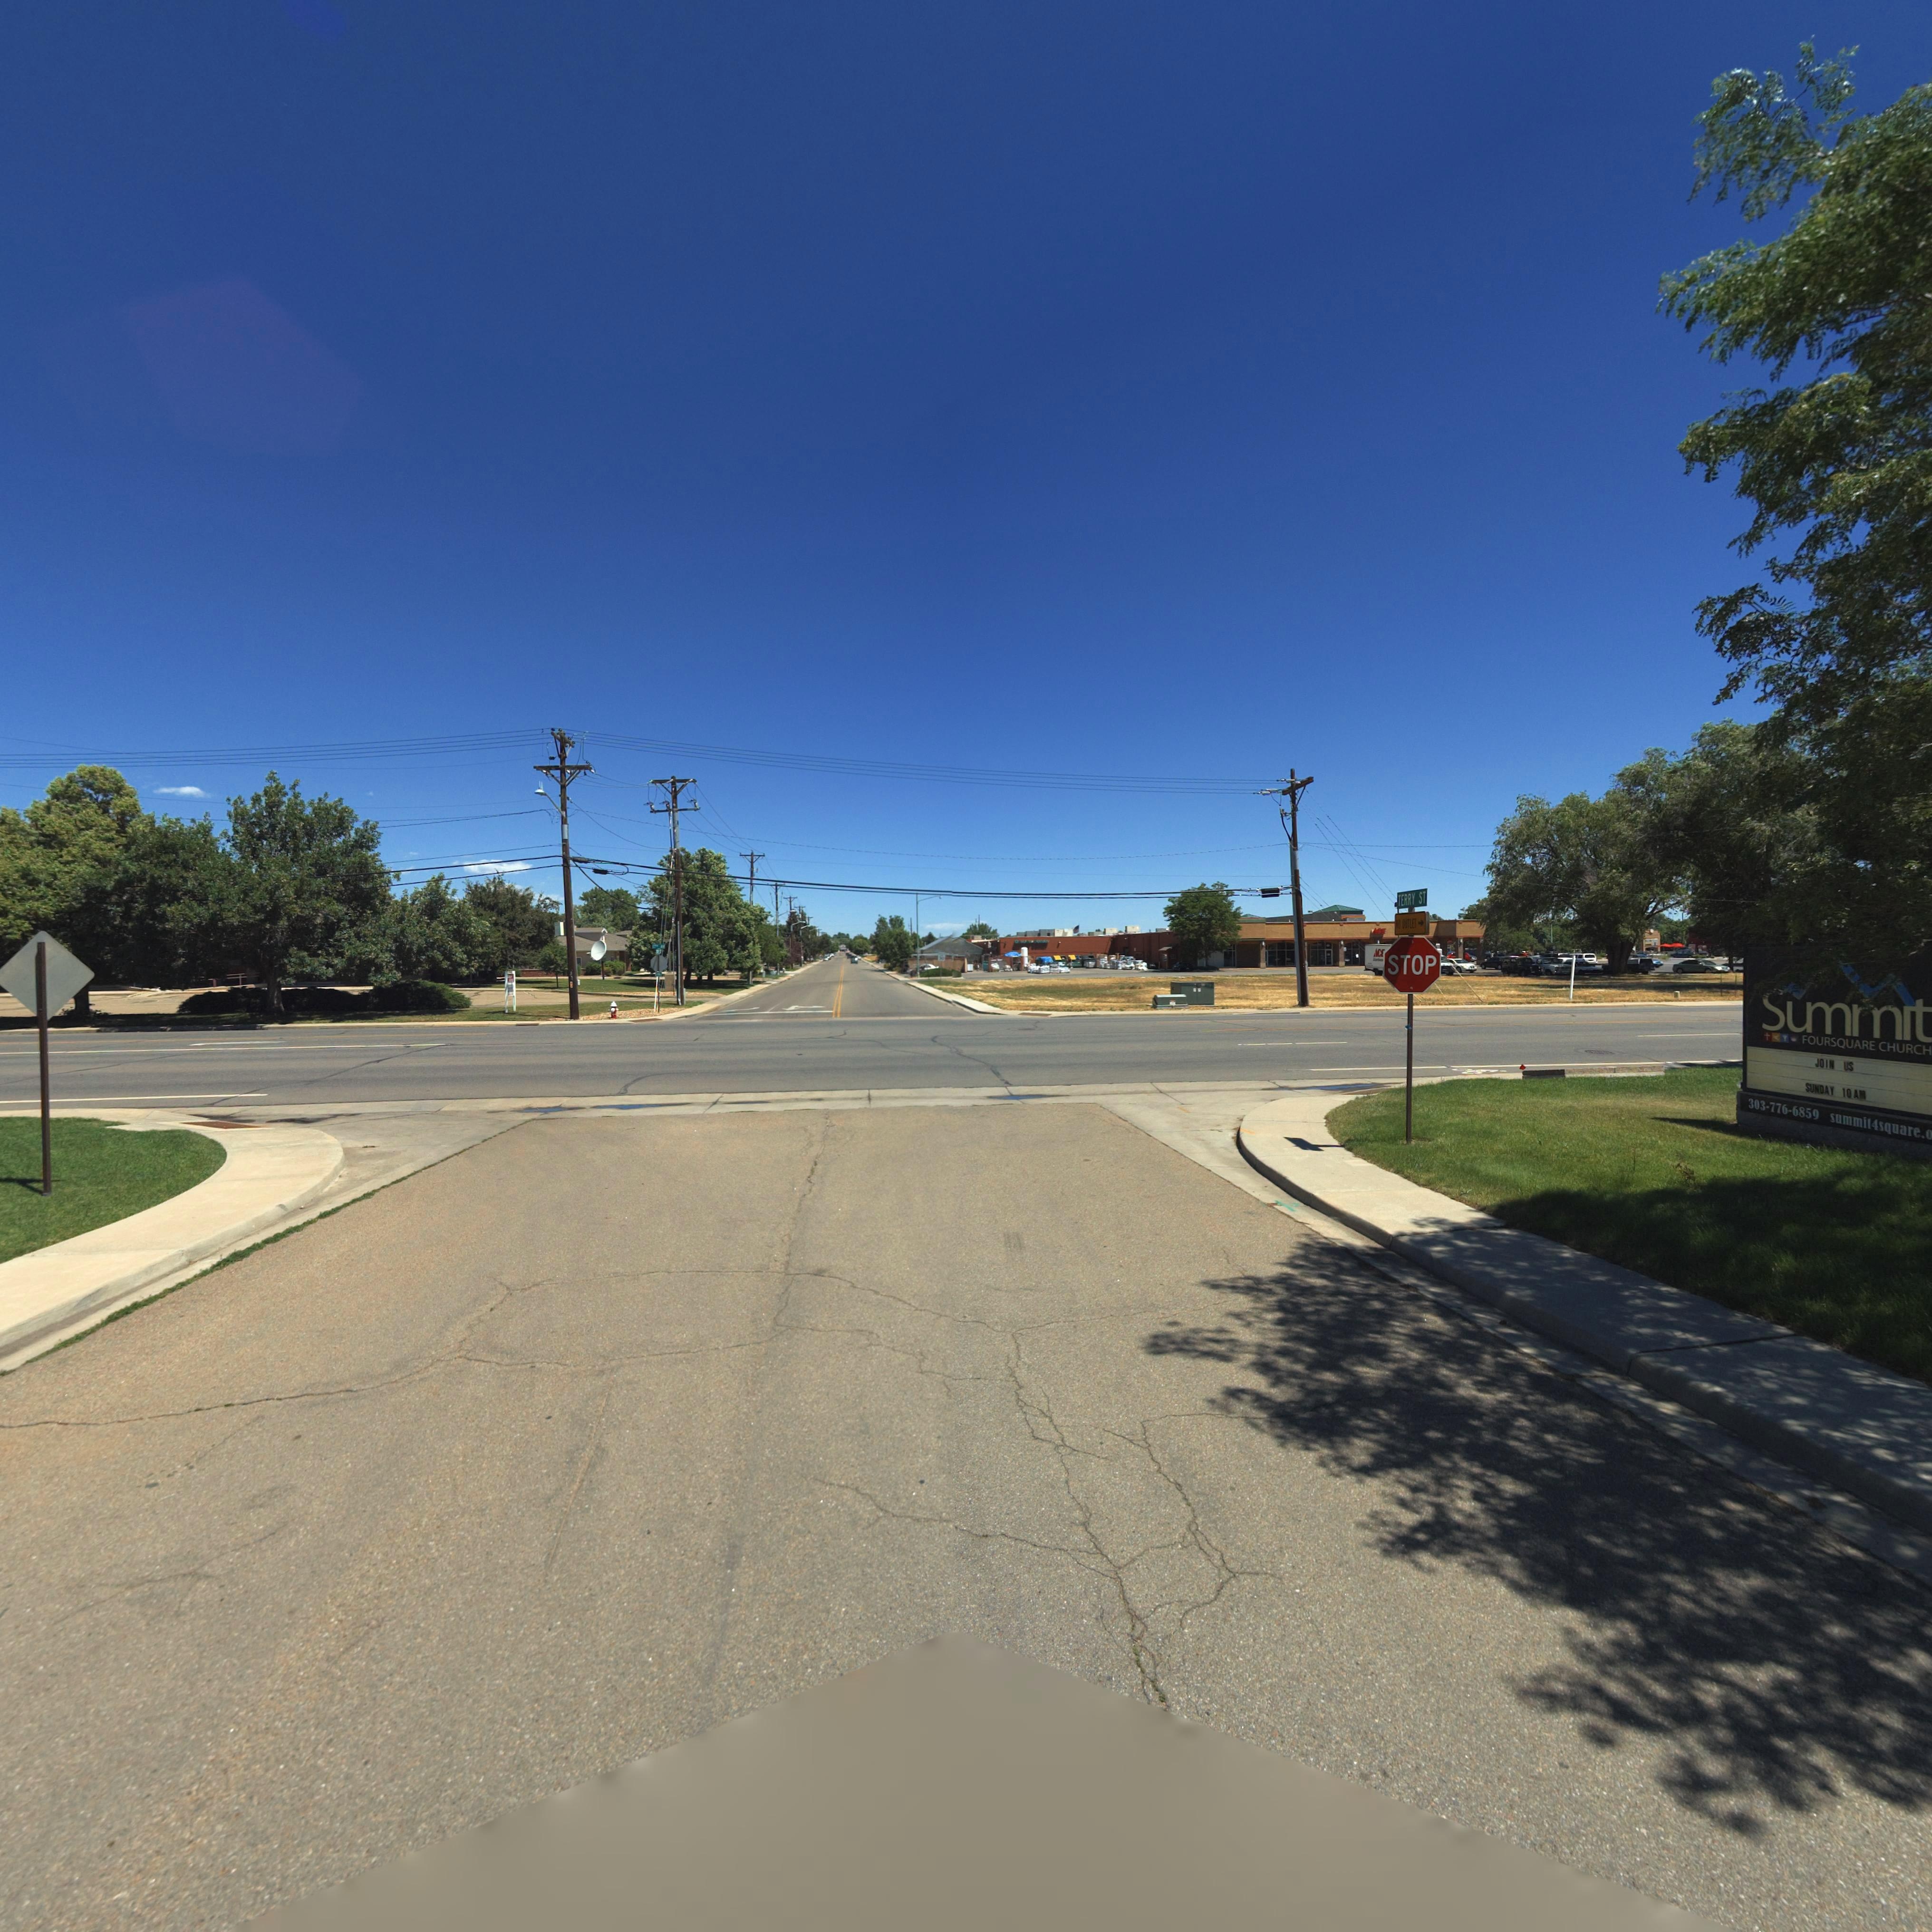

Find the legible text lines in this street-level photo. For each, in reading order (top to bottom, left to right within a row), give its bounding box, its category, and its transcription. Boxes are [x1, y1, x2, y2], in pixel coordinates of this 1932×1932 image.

[1397, 890, 1427, 907] StreetName: TERRY ST
[1372, 927, 1387, 934] BusinessName: ACE
[652, 944, 665, 948] StreetName: **TH ST
[1758, 987, 1932, 1044] BusinessName: Summit
[1801, 1034, 1932, 1056] BusinessName: FOURSQUARE CHURCH